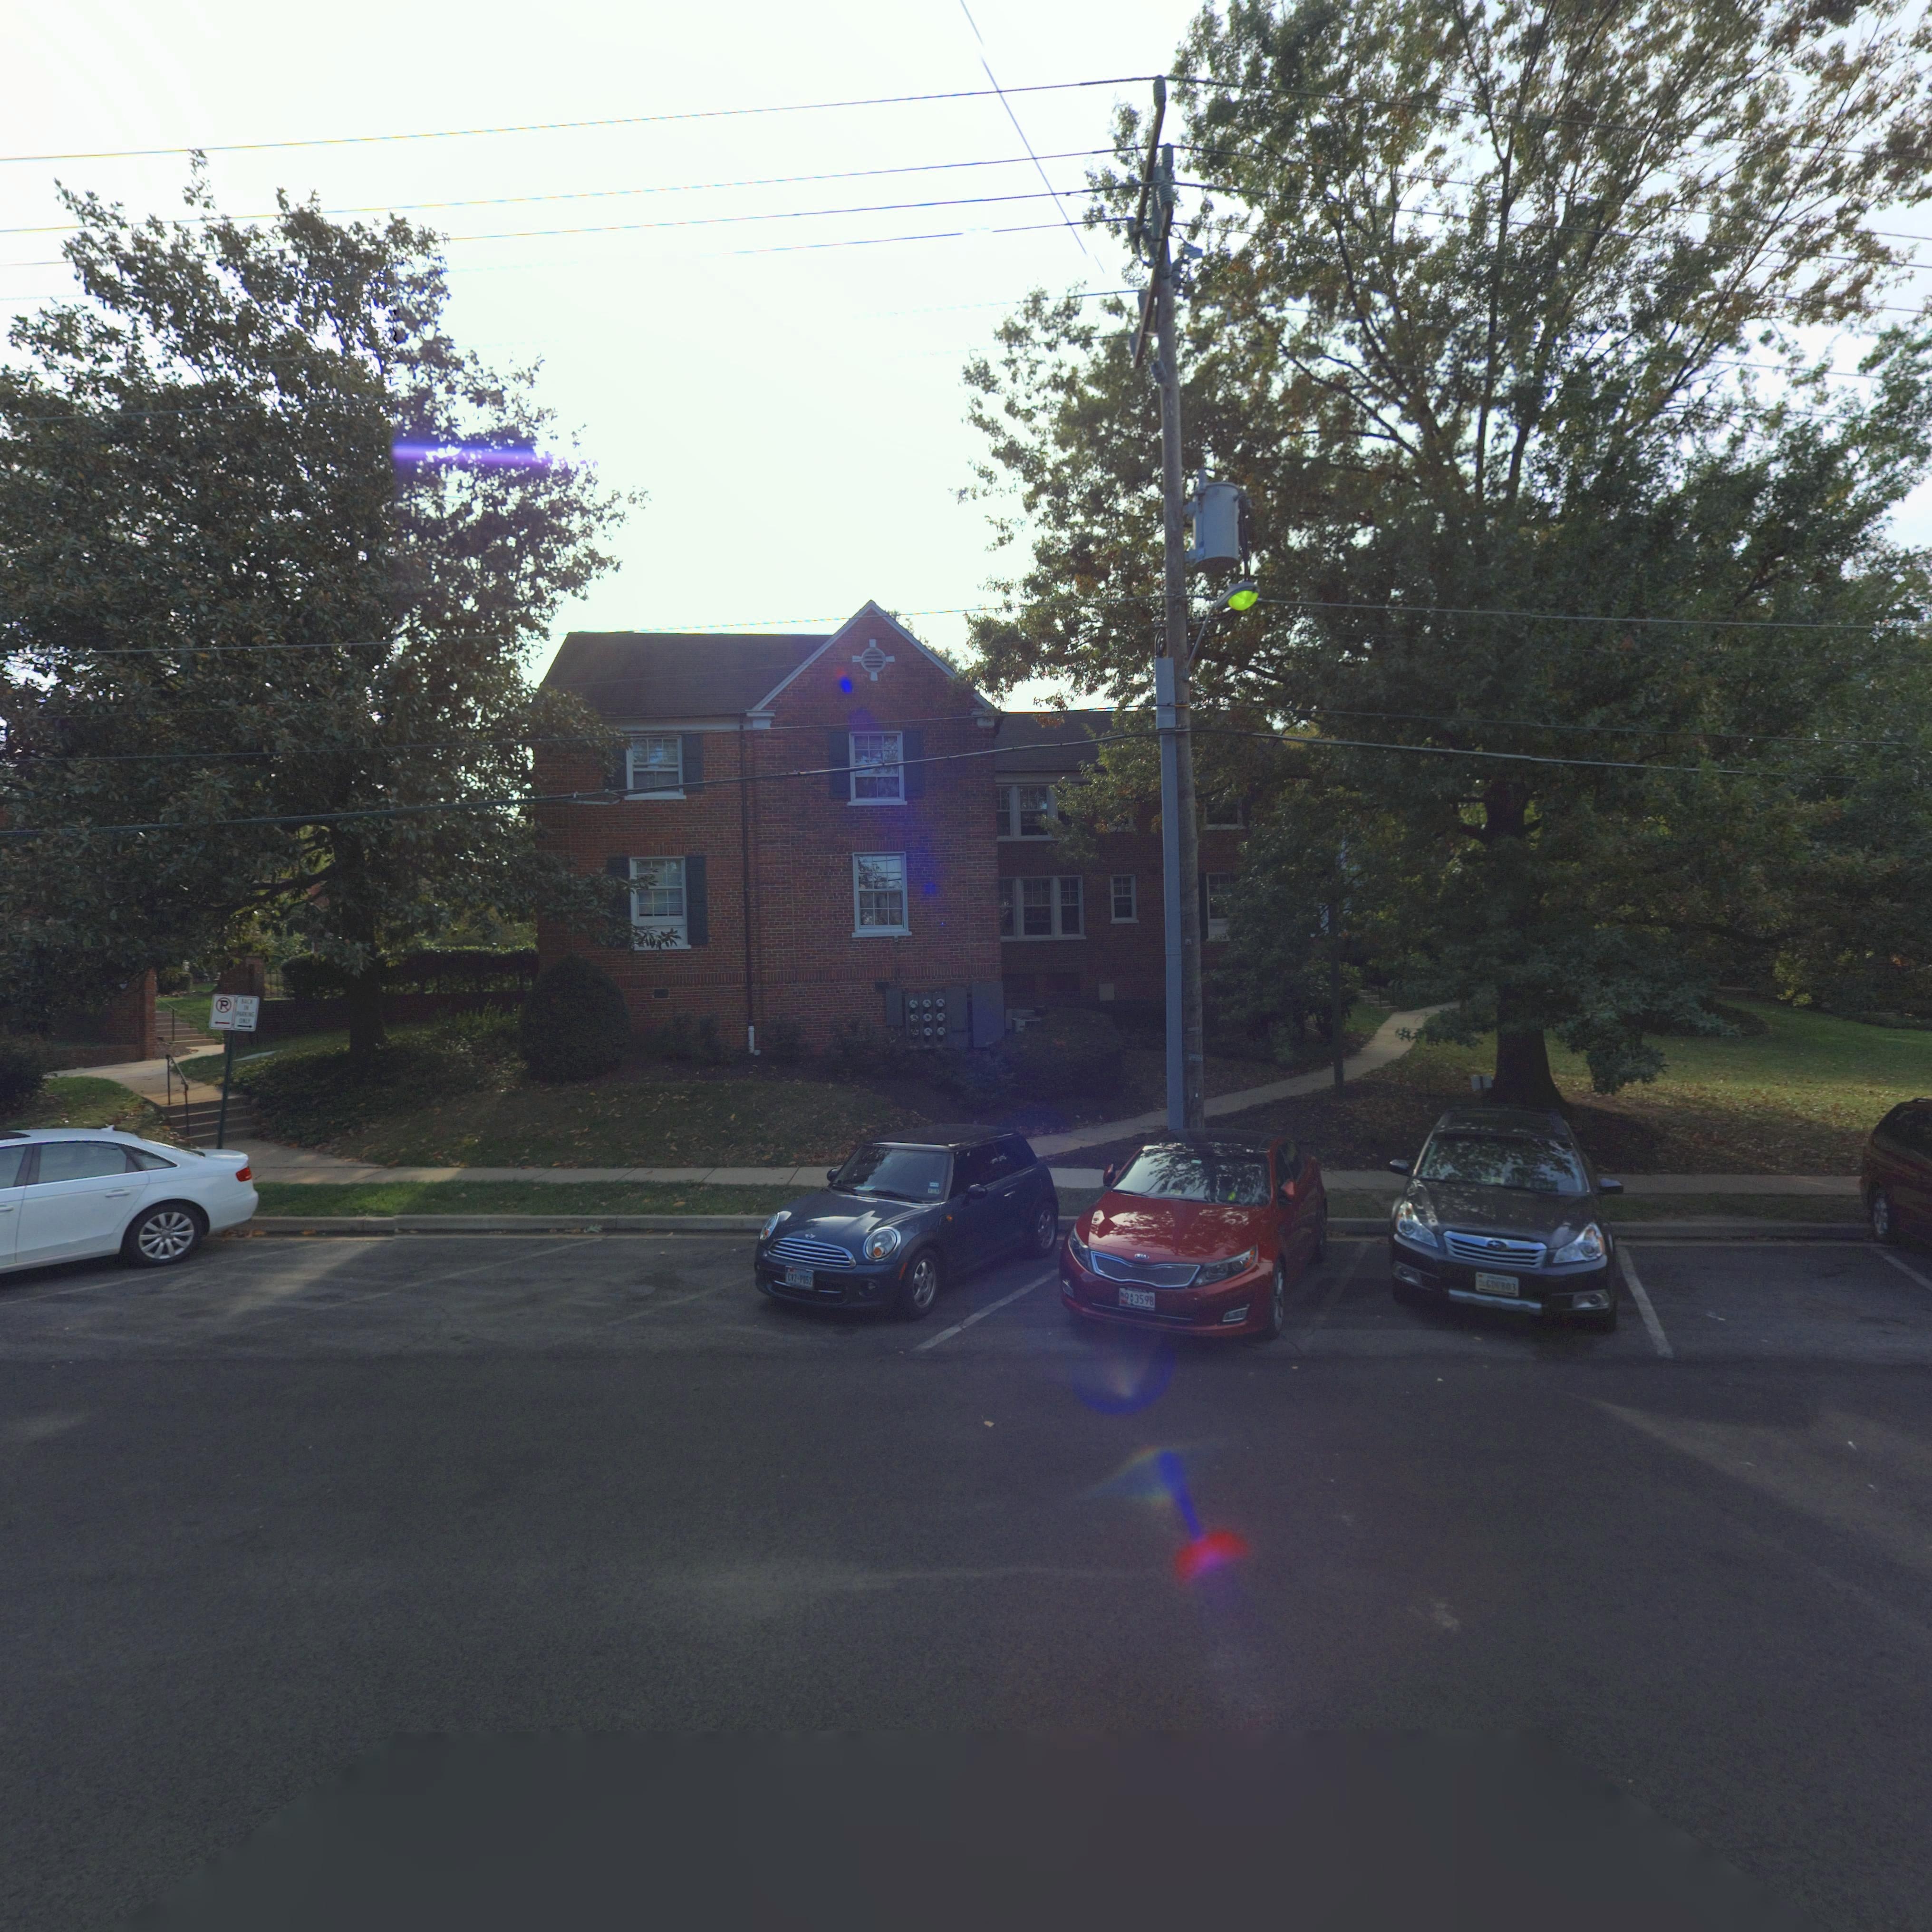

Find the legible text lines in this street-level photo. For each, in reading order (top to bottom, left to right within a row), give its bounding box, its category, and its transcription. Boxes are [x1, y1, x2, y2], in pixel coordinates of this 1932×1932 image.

[241, 998, 254, 1005] None: BACK
[243, 1005, 250, 1011] None: IN
[235, 1010, 255, 1018] None: PARKING
[238, 1018, 251, 1024] None: ONLY
[787, 1272, 812, 1286] None: CV2*P052
[1485, 1279, 1517, 1293] None: GD*B03
[1124, 1292, 1130, 1303] None: 9
[1130, 1293, 1134, 1303] None: AV
[1134, 1294, 1154, 1306] None: 3598